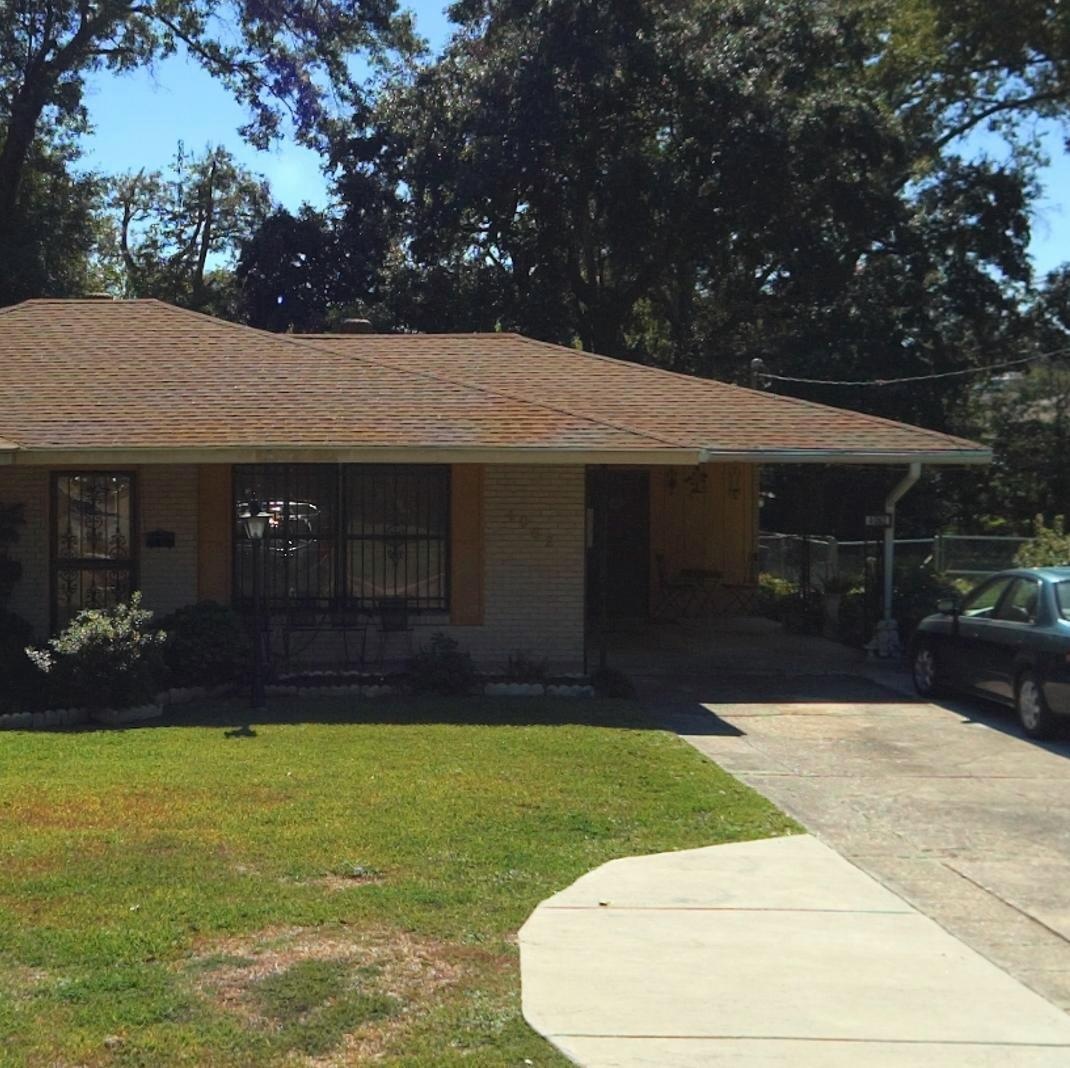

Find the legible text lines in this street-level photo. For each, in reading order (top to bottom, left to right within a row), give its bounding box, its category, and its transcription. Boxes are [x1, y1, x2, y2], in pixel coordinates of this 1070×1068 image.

[503, 507, 555, 550] StreetNumber: 4062